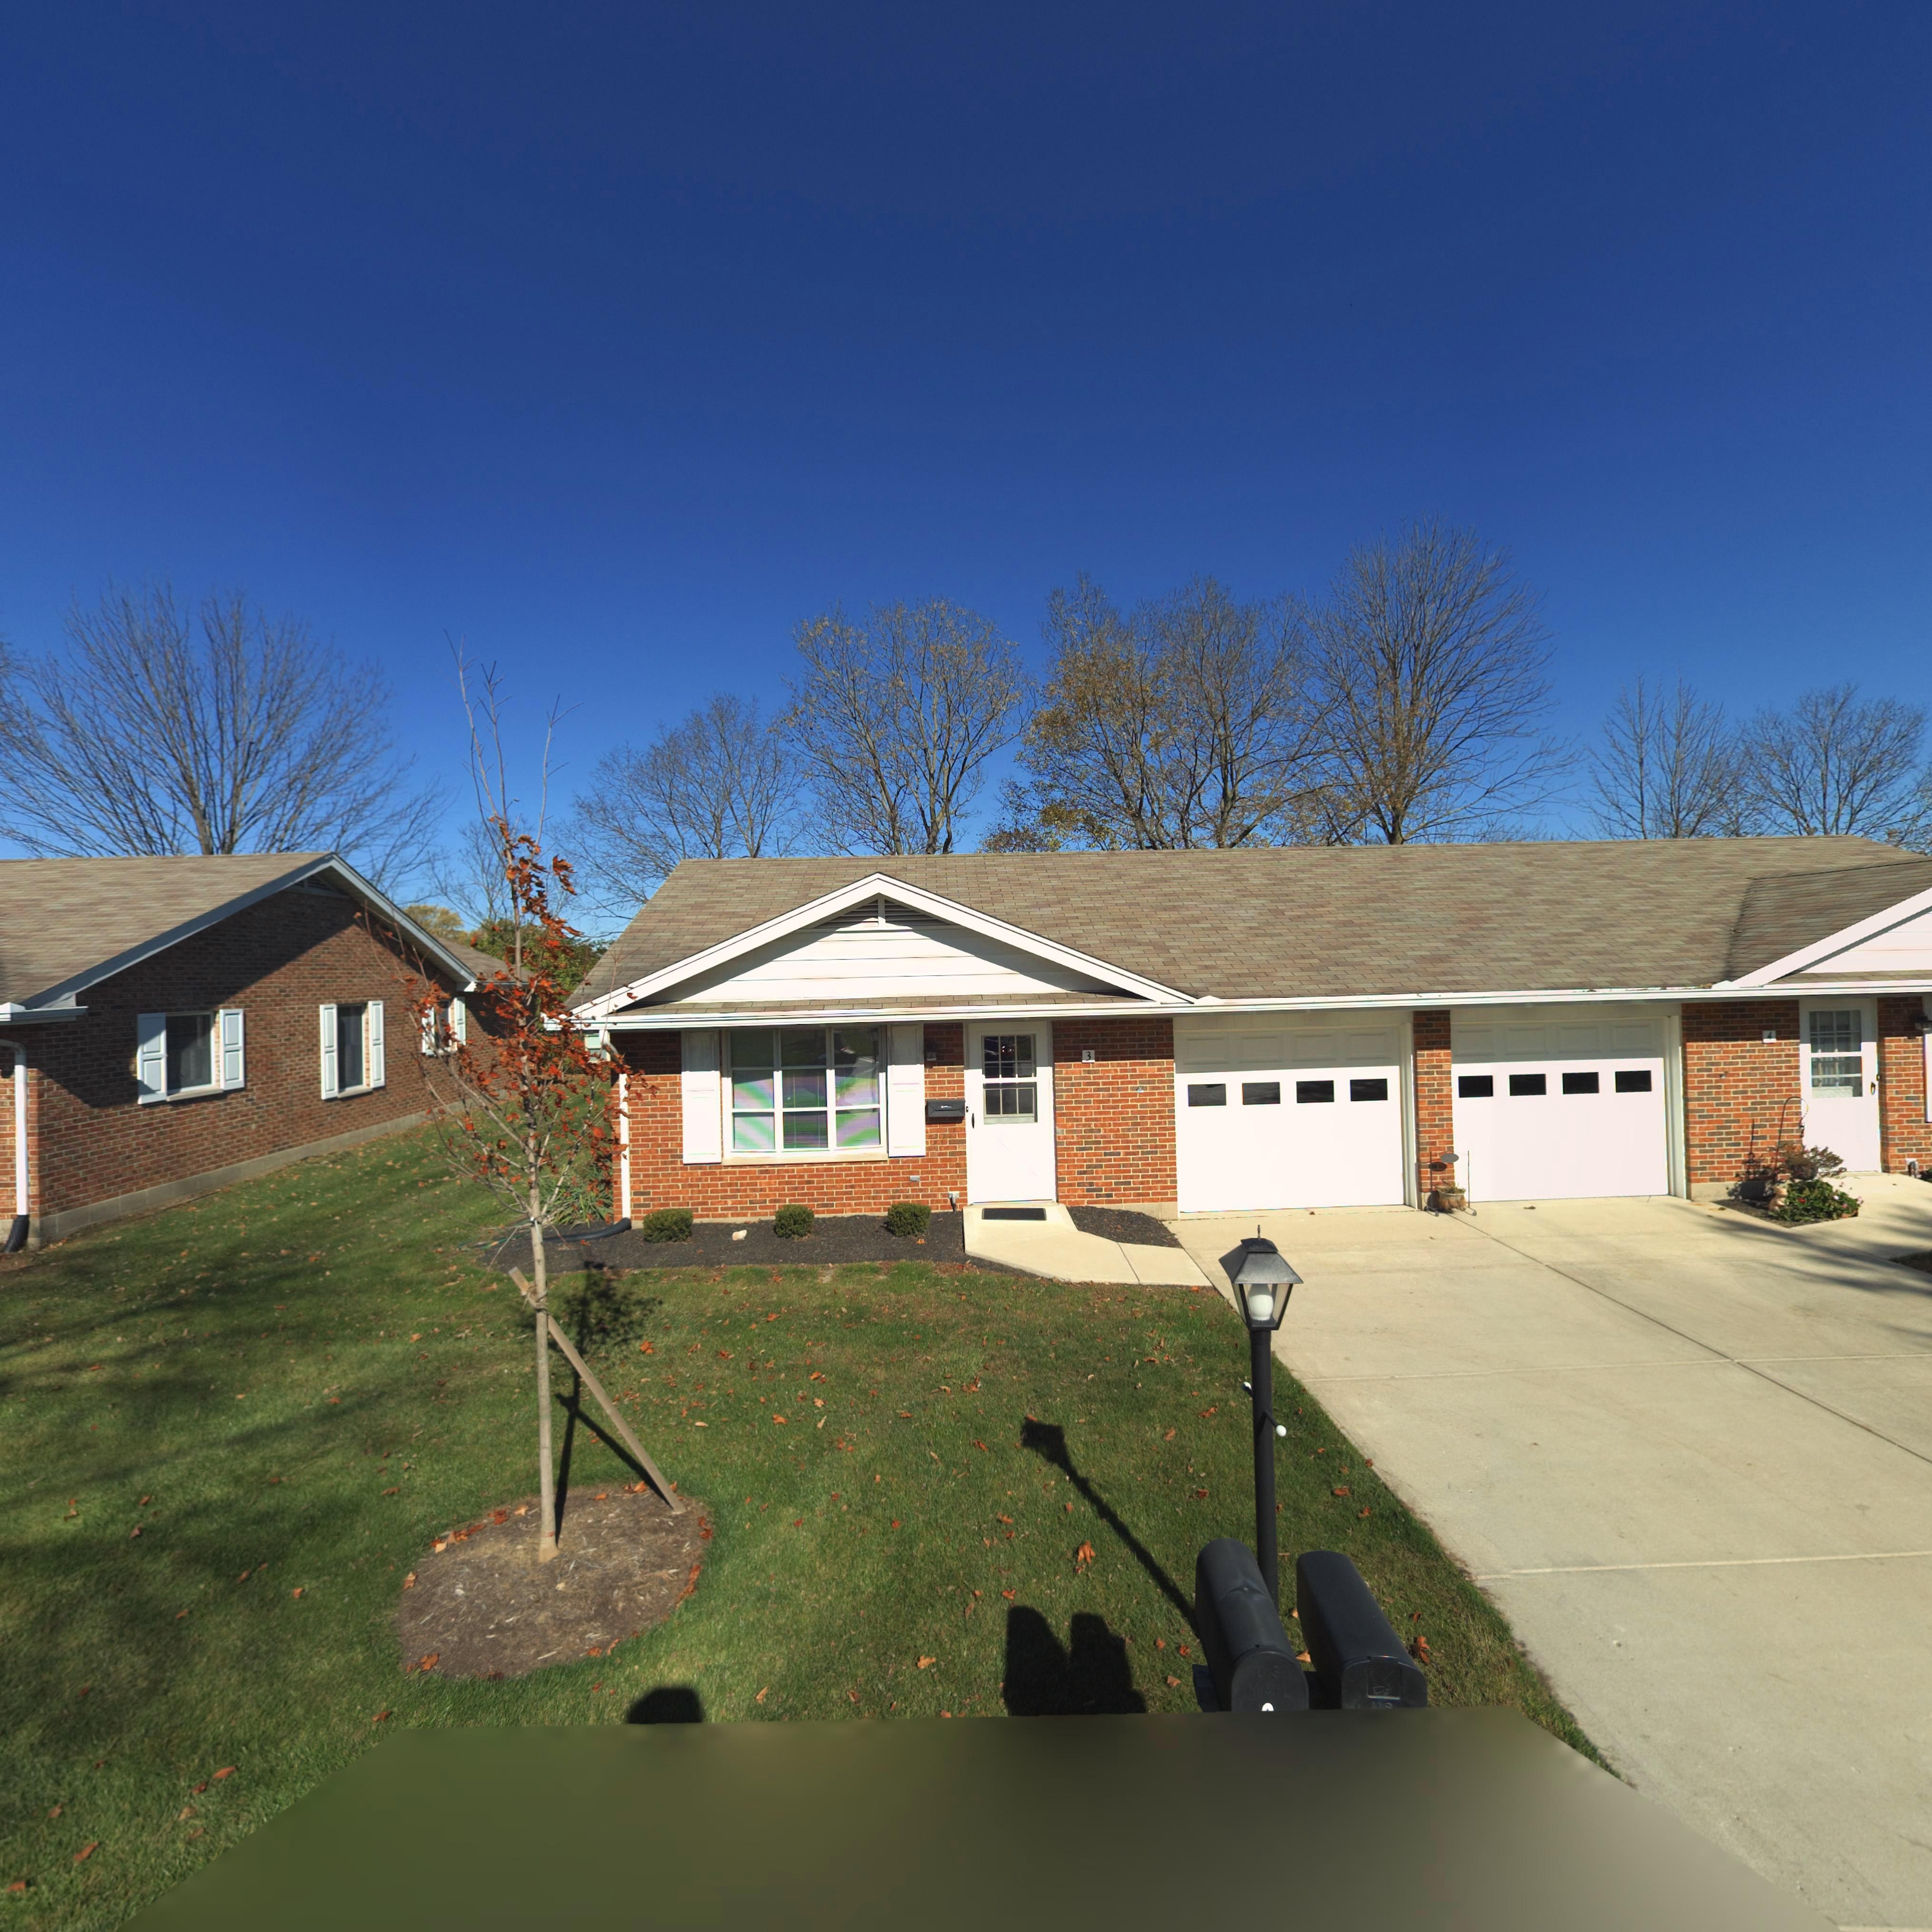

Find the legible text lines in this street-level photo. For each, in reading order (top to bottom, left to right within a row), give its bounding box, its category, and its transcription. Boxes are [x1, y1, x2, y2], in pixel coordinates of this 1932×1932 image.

[1084, 1050, 1092, 1062] StreetNumber: 3